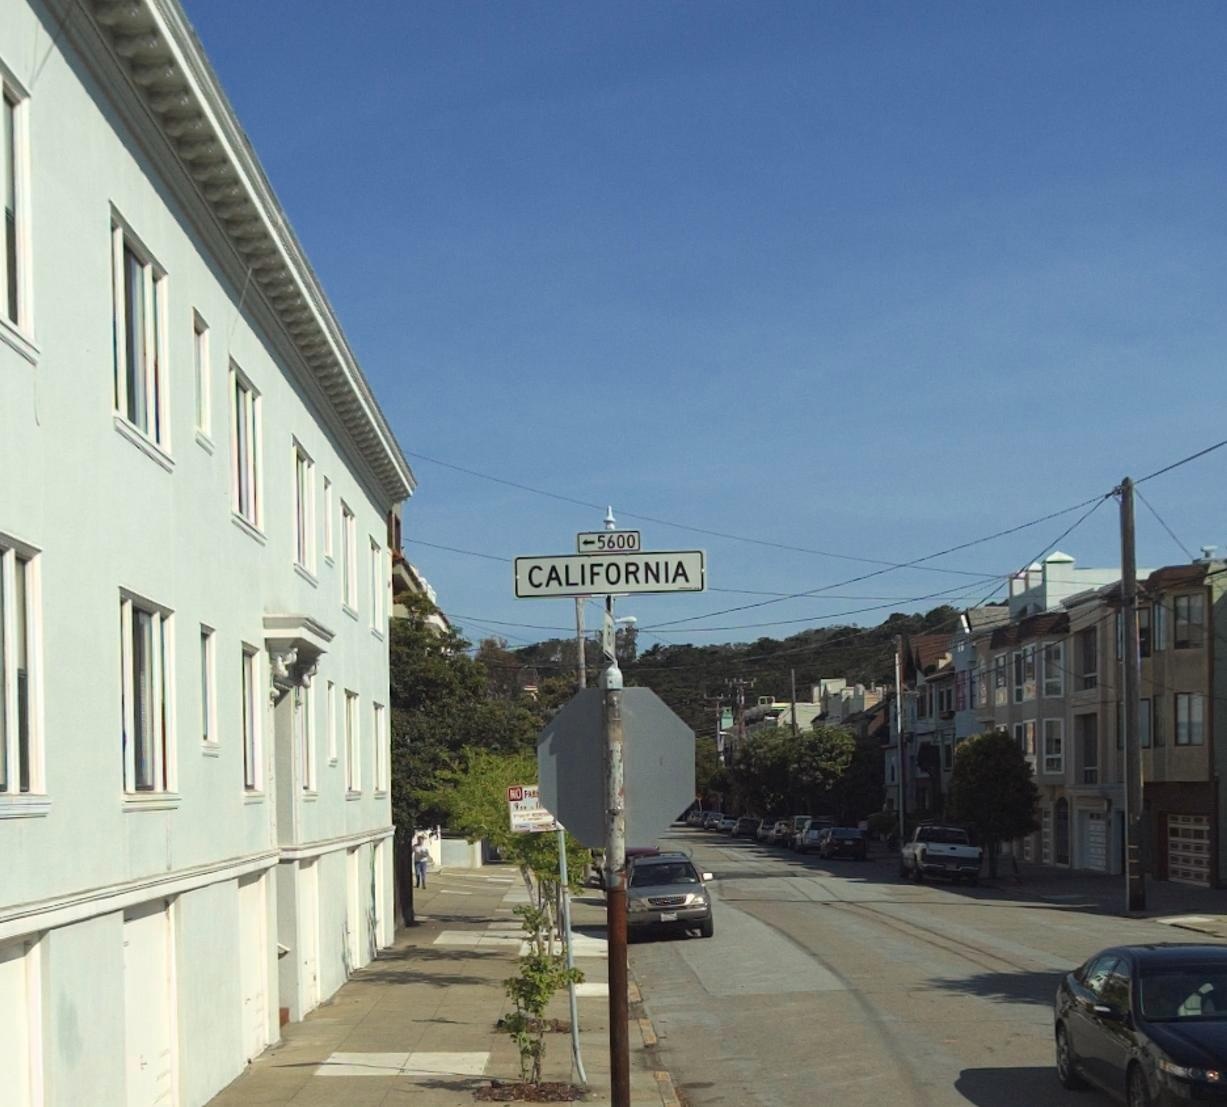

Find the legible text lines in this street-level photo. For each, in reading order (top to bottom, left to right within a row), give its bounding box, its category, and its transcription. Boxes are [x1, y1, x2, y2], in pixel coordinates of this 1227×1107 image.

[579, 532, 636, 550] StreetNumberRange: <-5600
[523, 556, 692, 590] StreetName: CALIFORNIA
[507, 787, 522, 801] None: NO